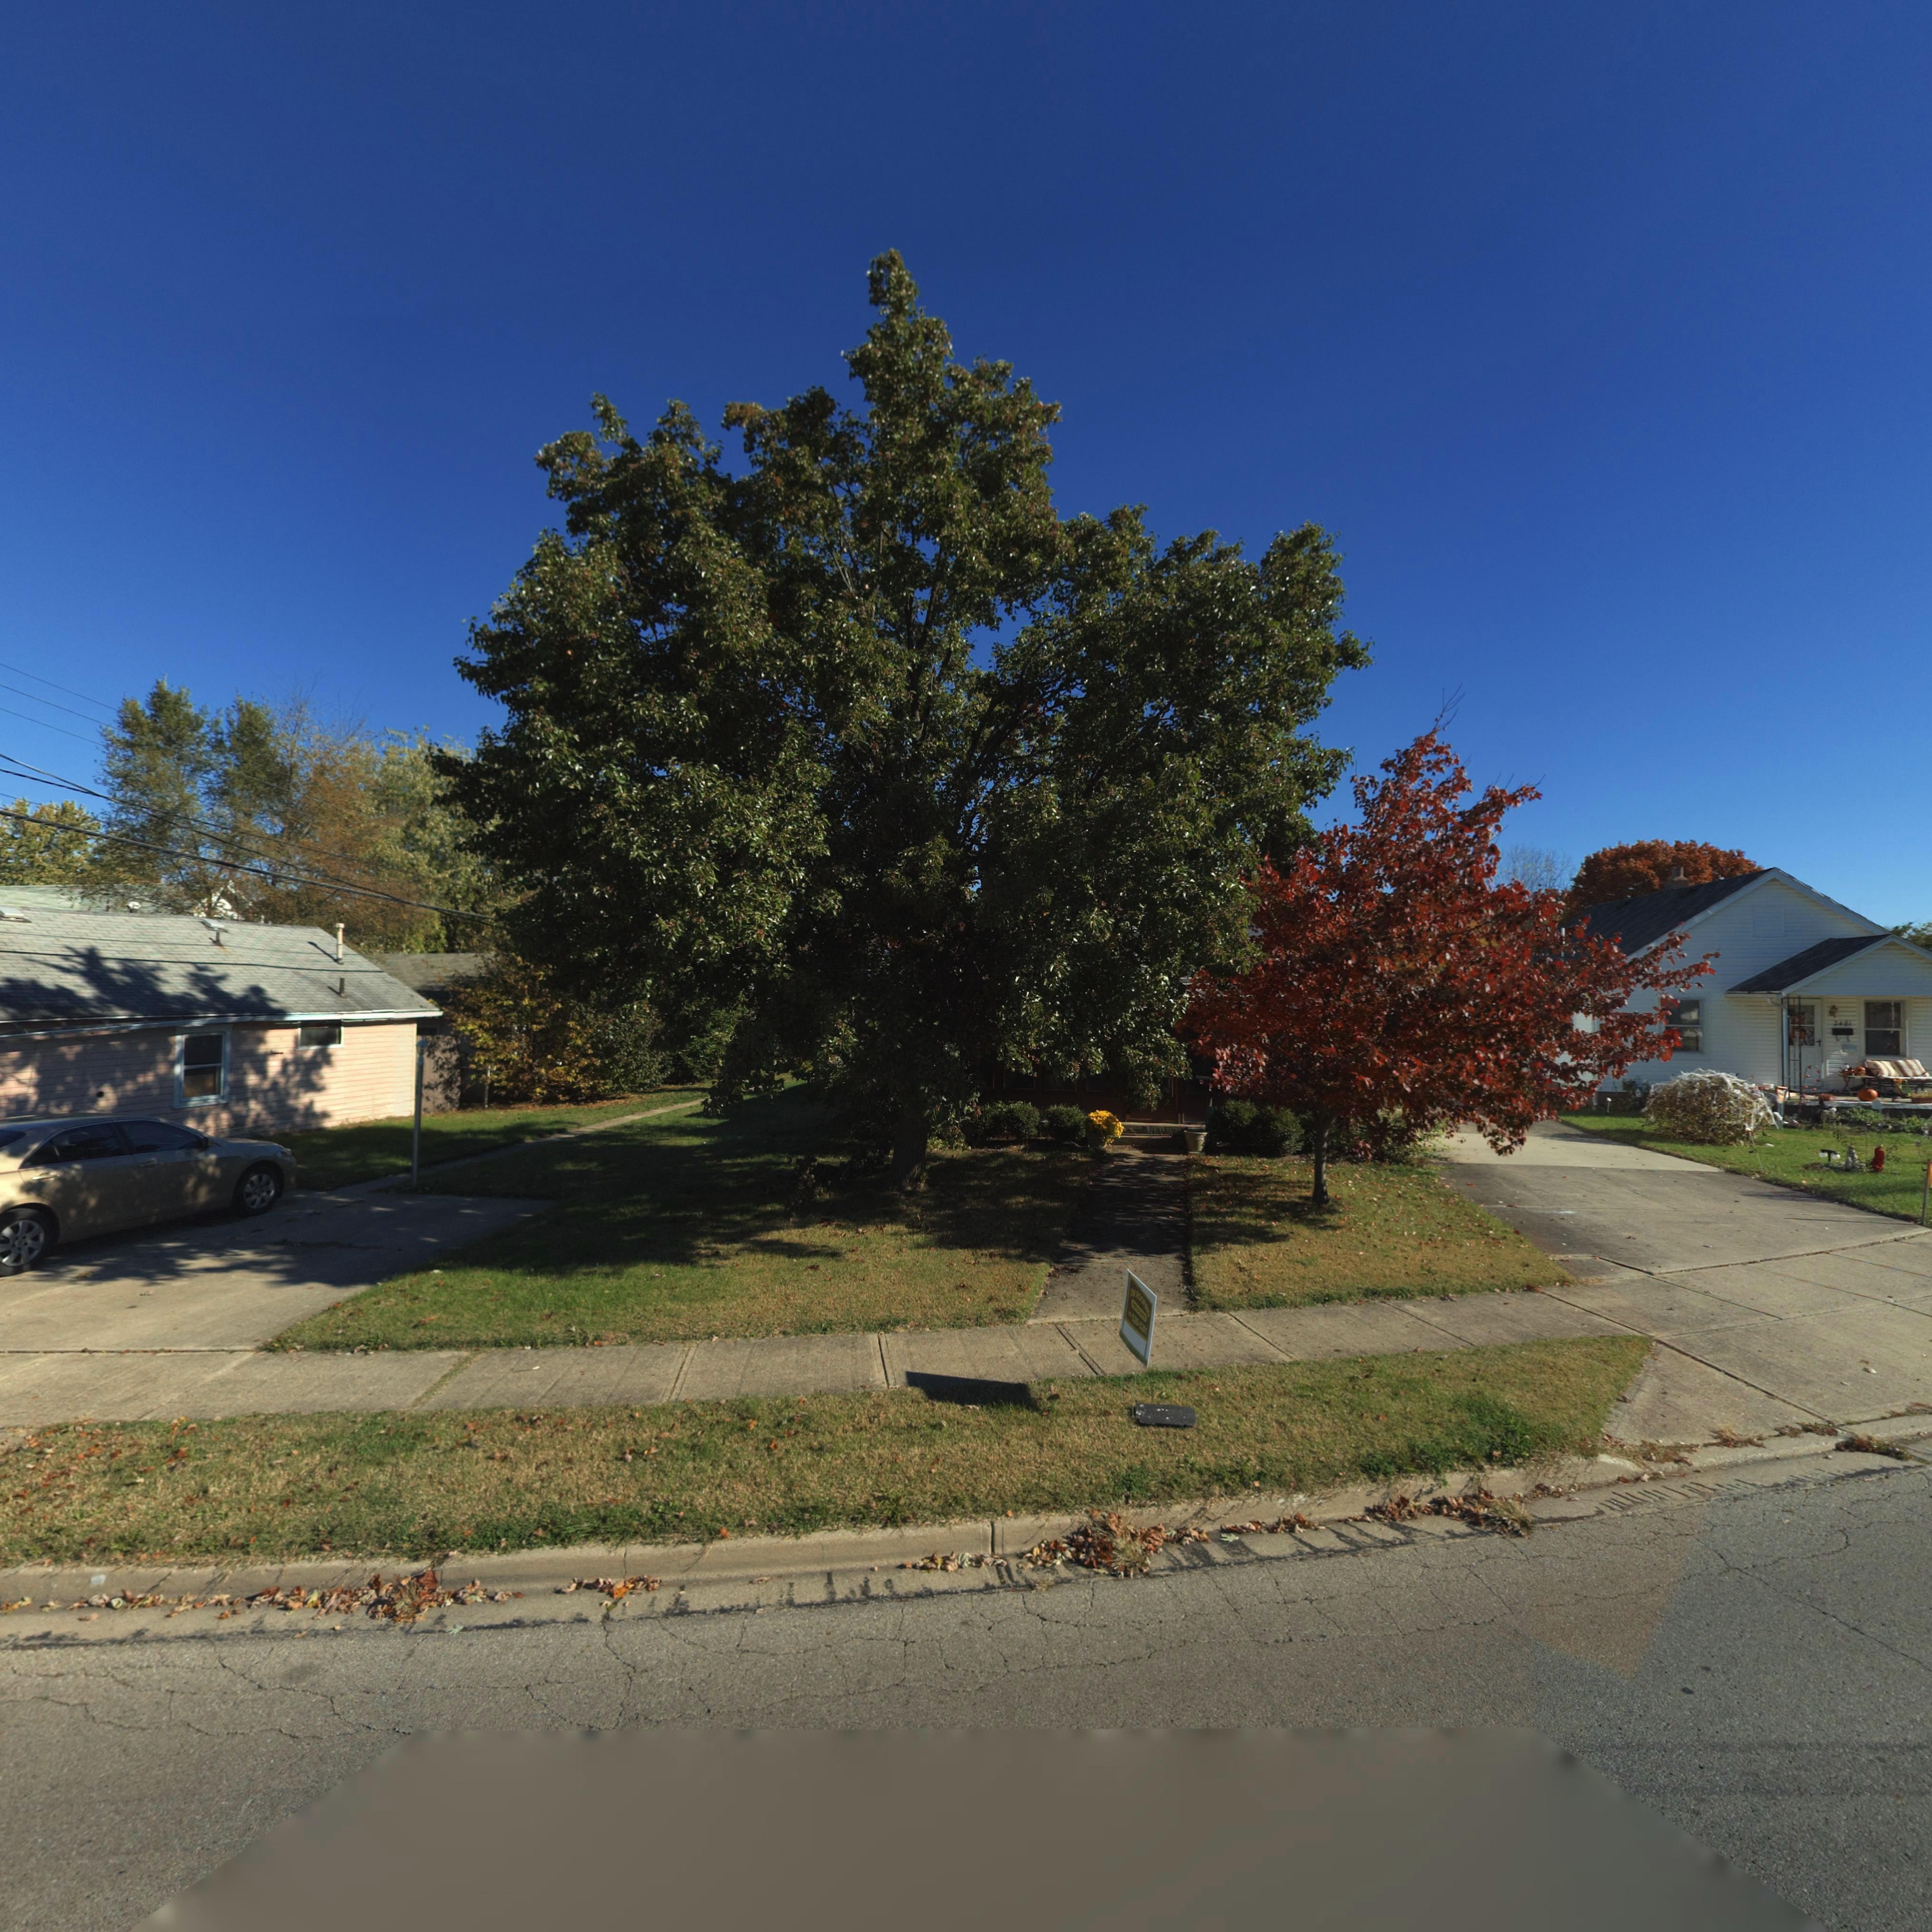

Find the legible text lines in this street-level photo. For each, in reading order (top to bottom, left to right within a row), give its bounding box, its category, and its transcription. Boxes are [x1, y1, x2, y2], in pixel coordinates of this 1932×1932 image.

[1833, 1019, 1853, 1026] StreetNumber: 24**